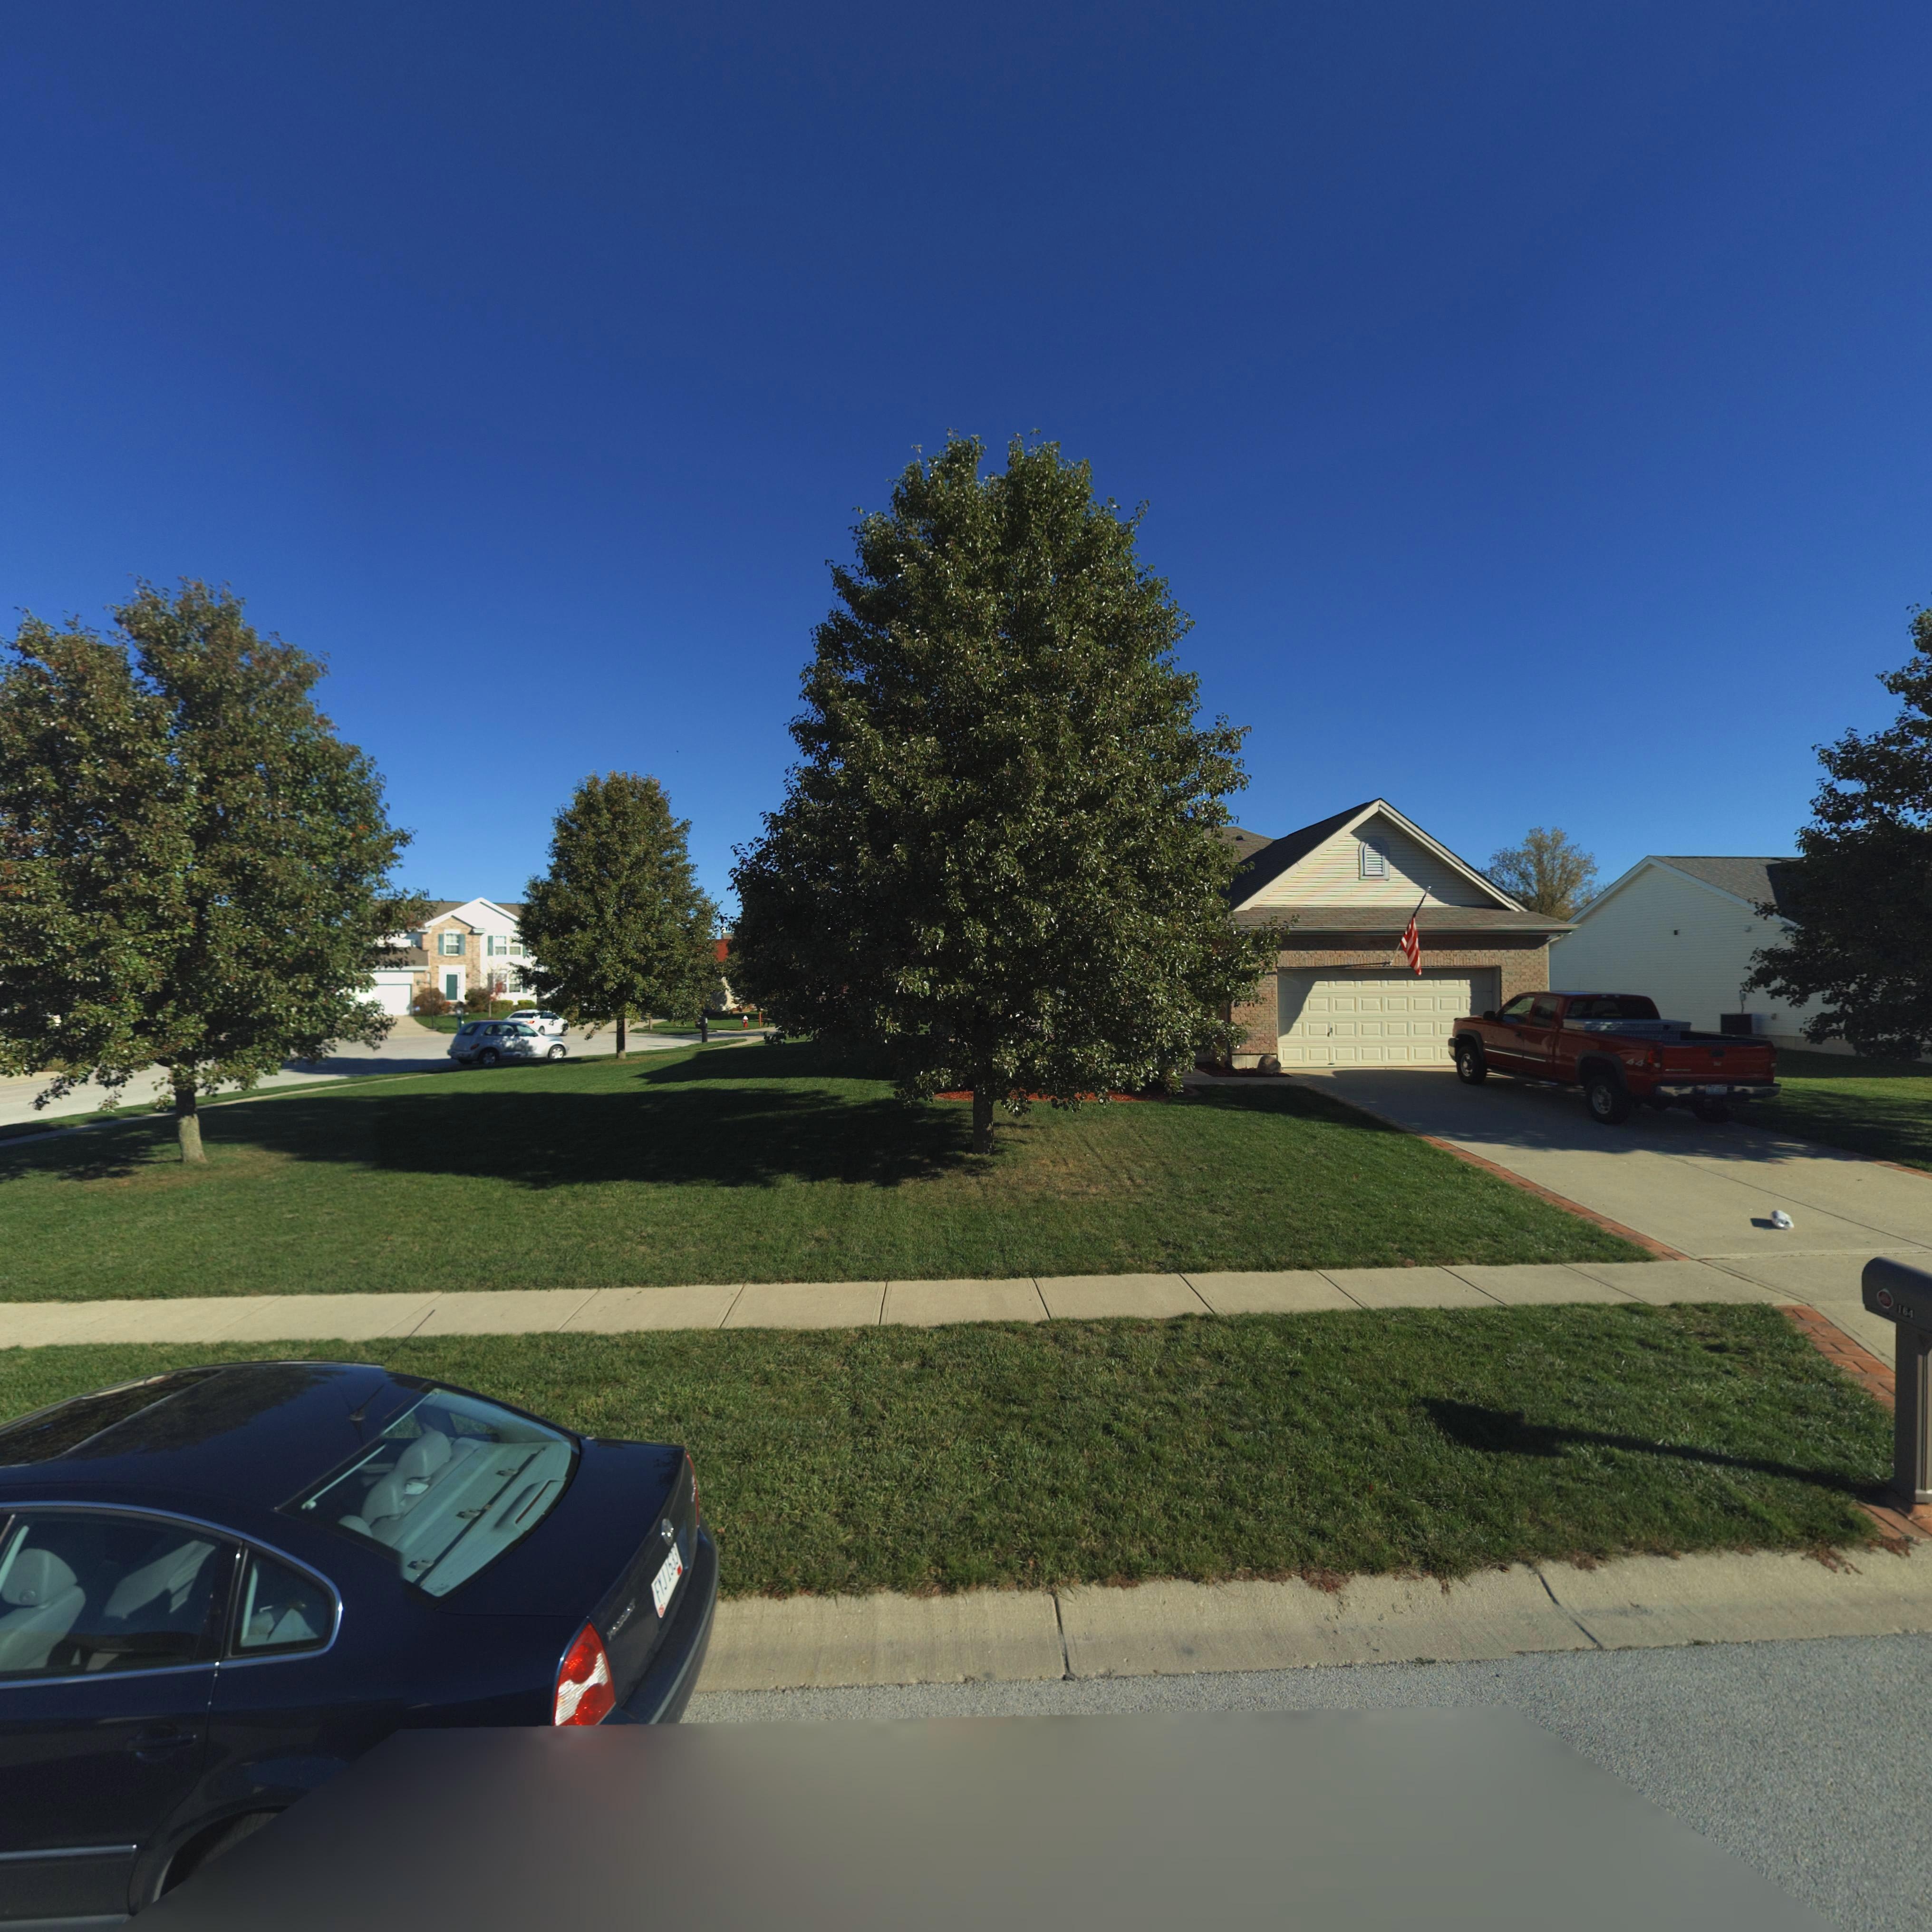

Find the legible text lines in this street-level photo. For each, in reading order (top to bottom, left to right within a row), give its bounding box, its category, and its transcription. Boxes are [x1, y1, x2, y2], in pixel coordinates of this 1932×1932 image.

[1897, 1304, 1914, 1320] StreetNumber: 164